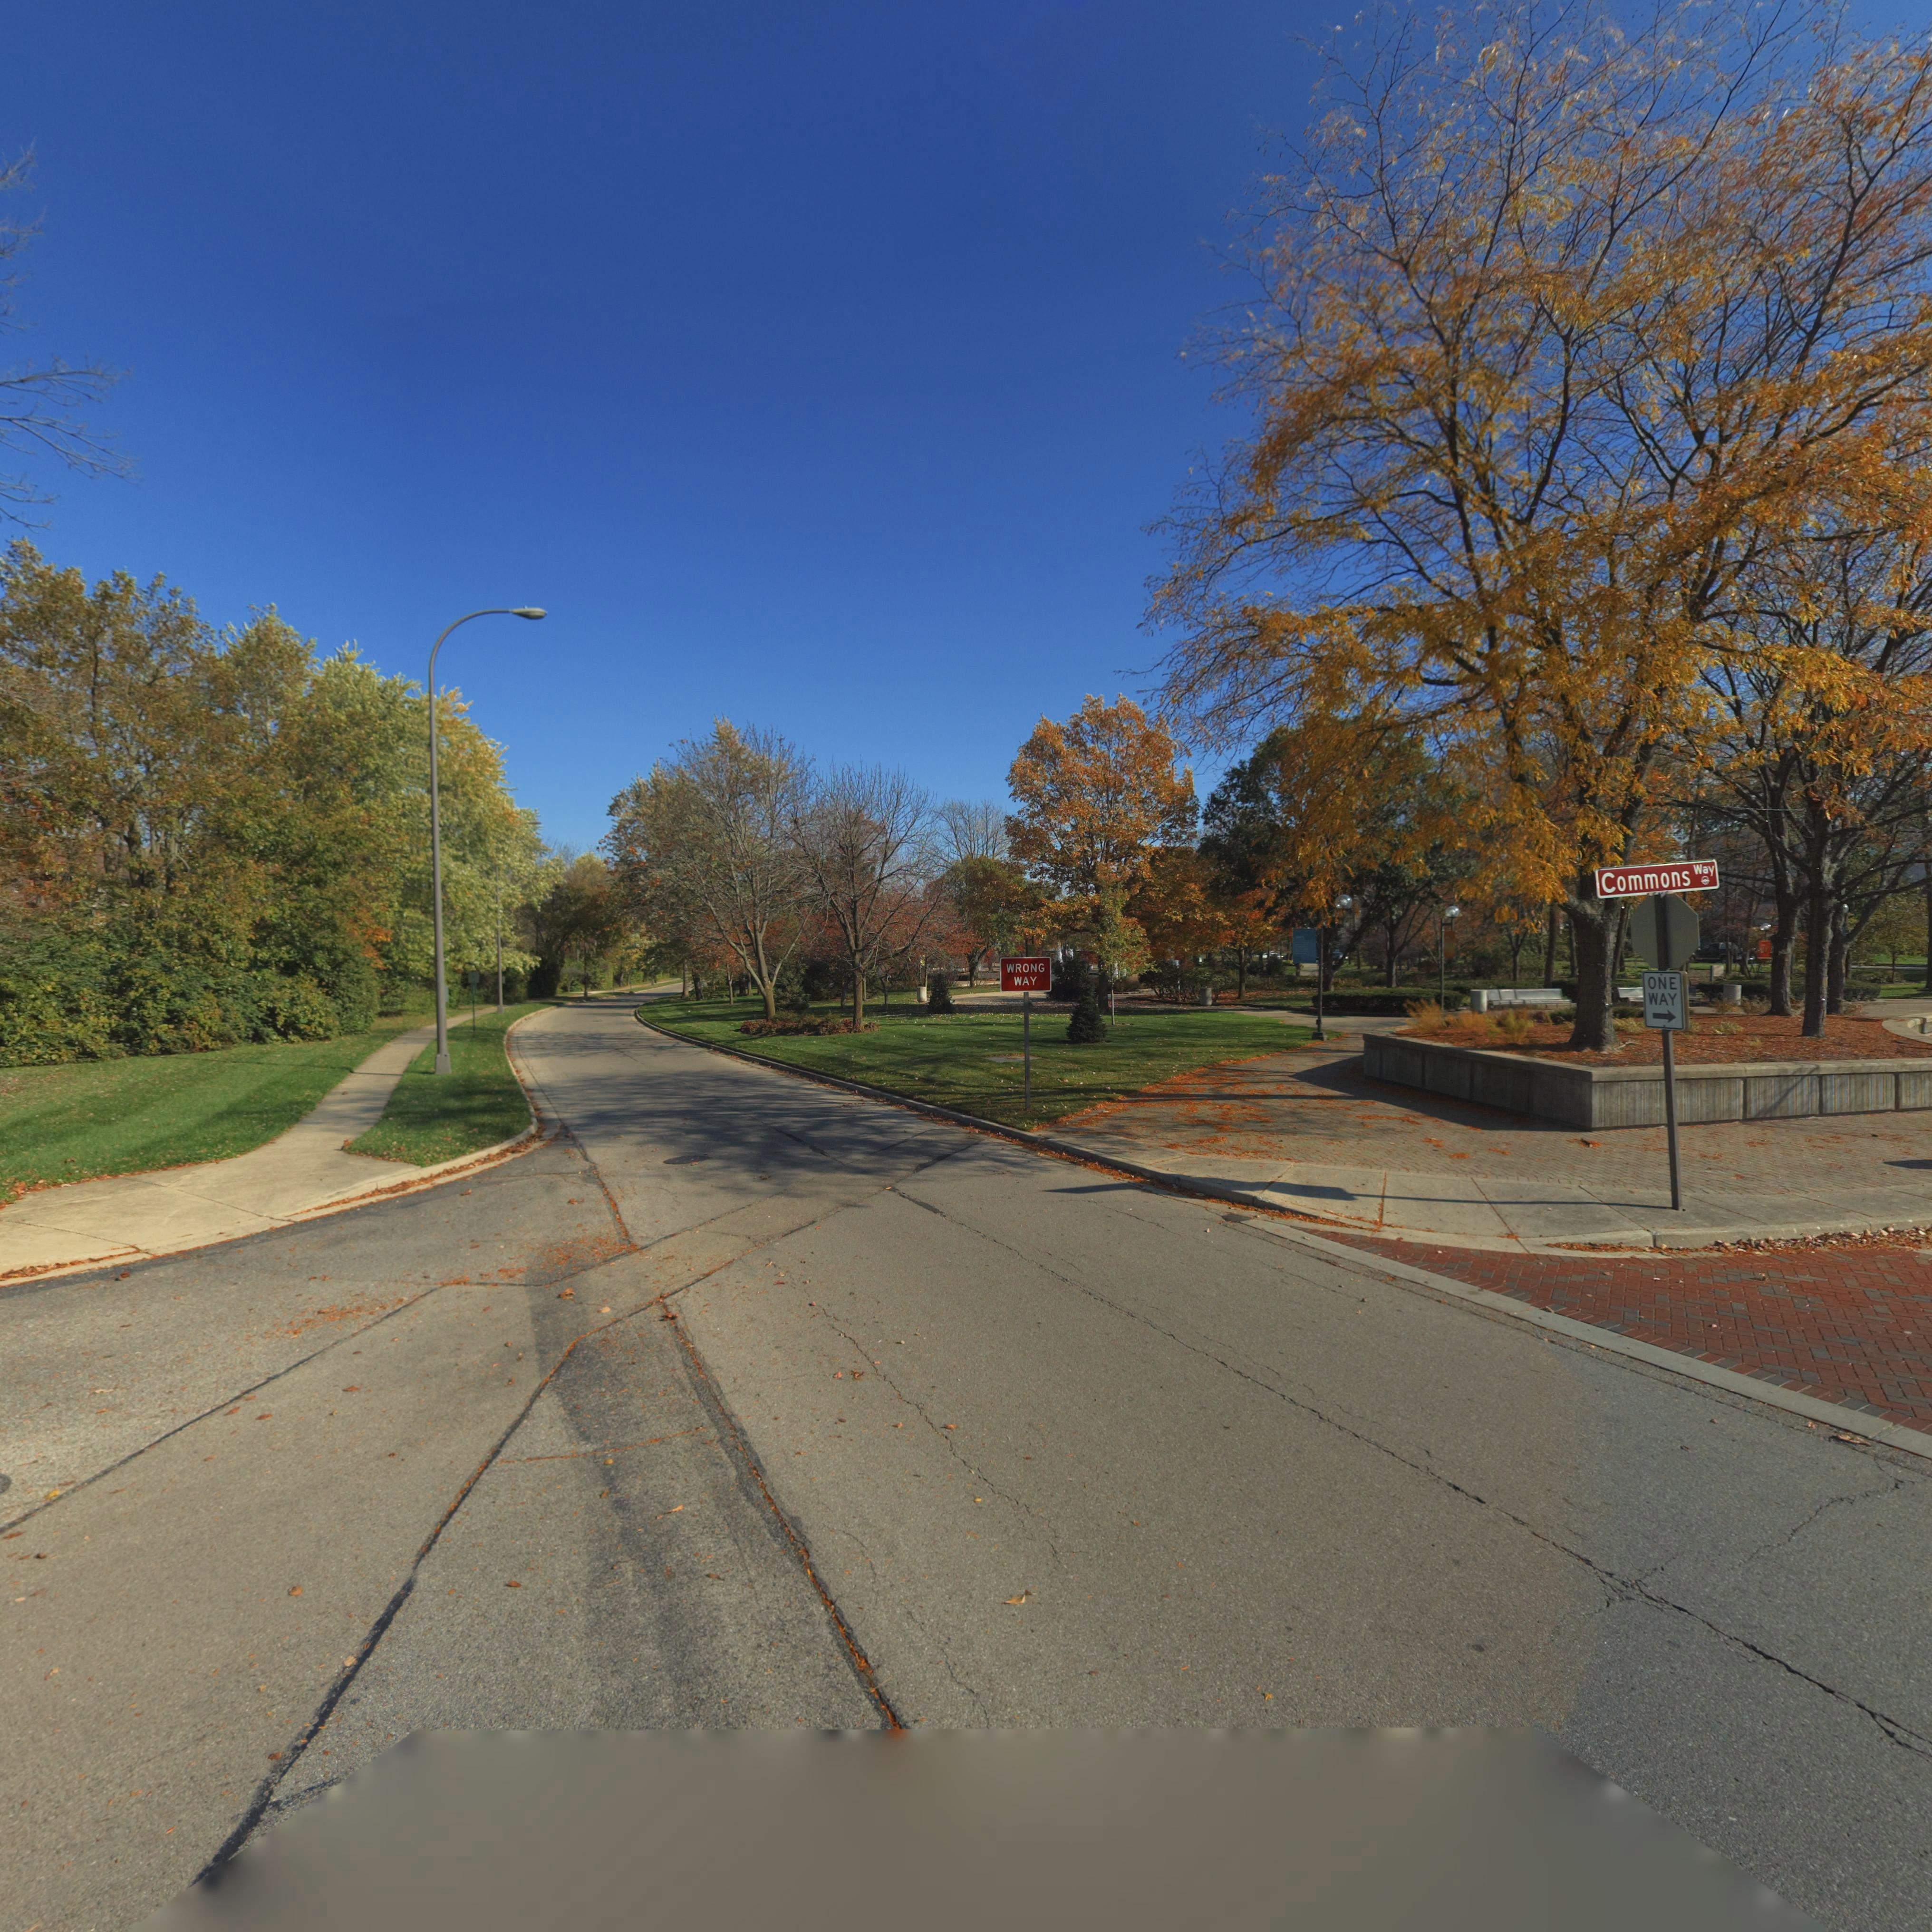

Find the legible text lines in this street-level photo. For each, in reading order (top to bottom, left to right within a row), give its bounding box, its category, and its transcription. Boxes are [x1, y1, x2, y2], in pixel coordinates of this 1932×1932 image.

[1600, 863, 1715, 895] StreetName: Commons Way
[1005, 962, 1044, 973] None: WRONG
[1014, 975, 1037, 985] None: WAY
[1647, 976, 1678, 990] None: ONE
[1647, 991, 1678, 1006] None: WAY